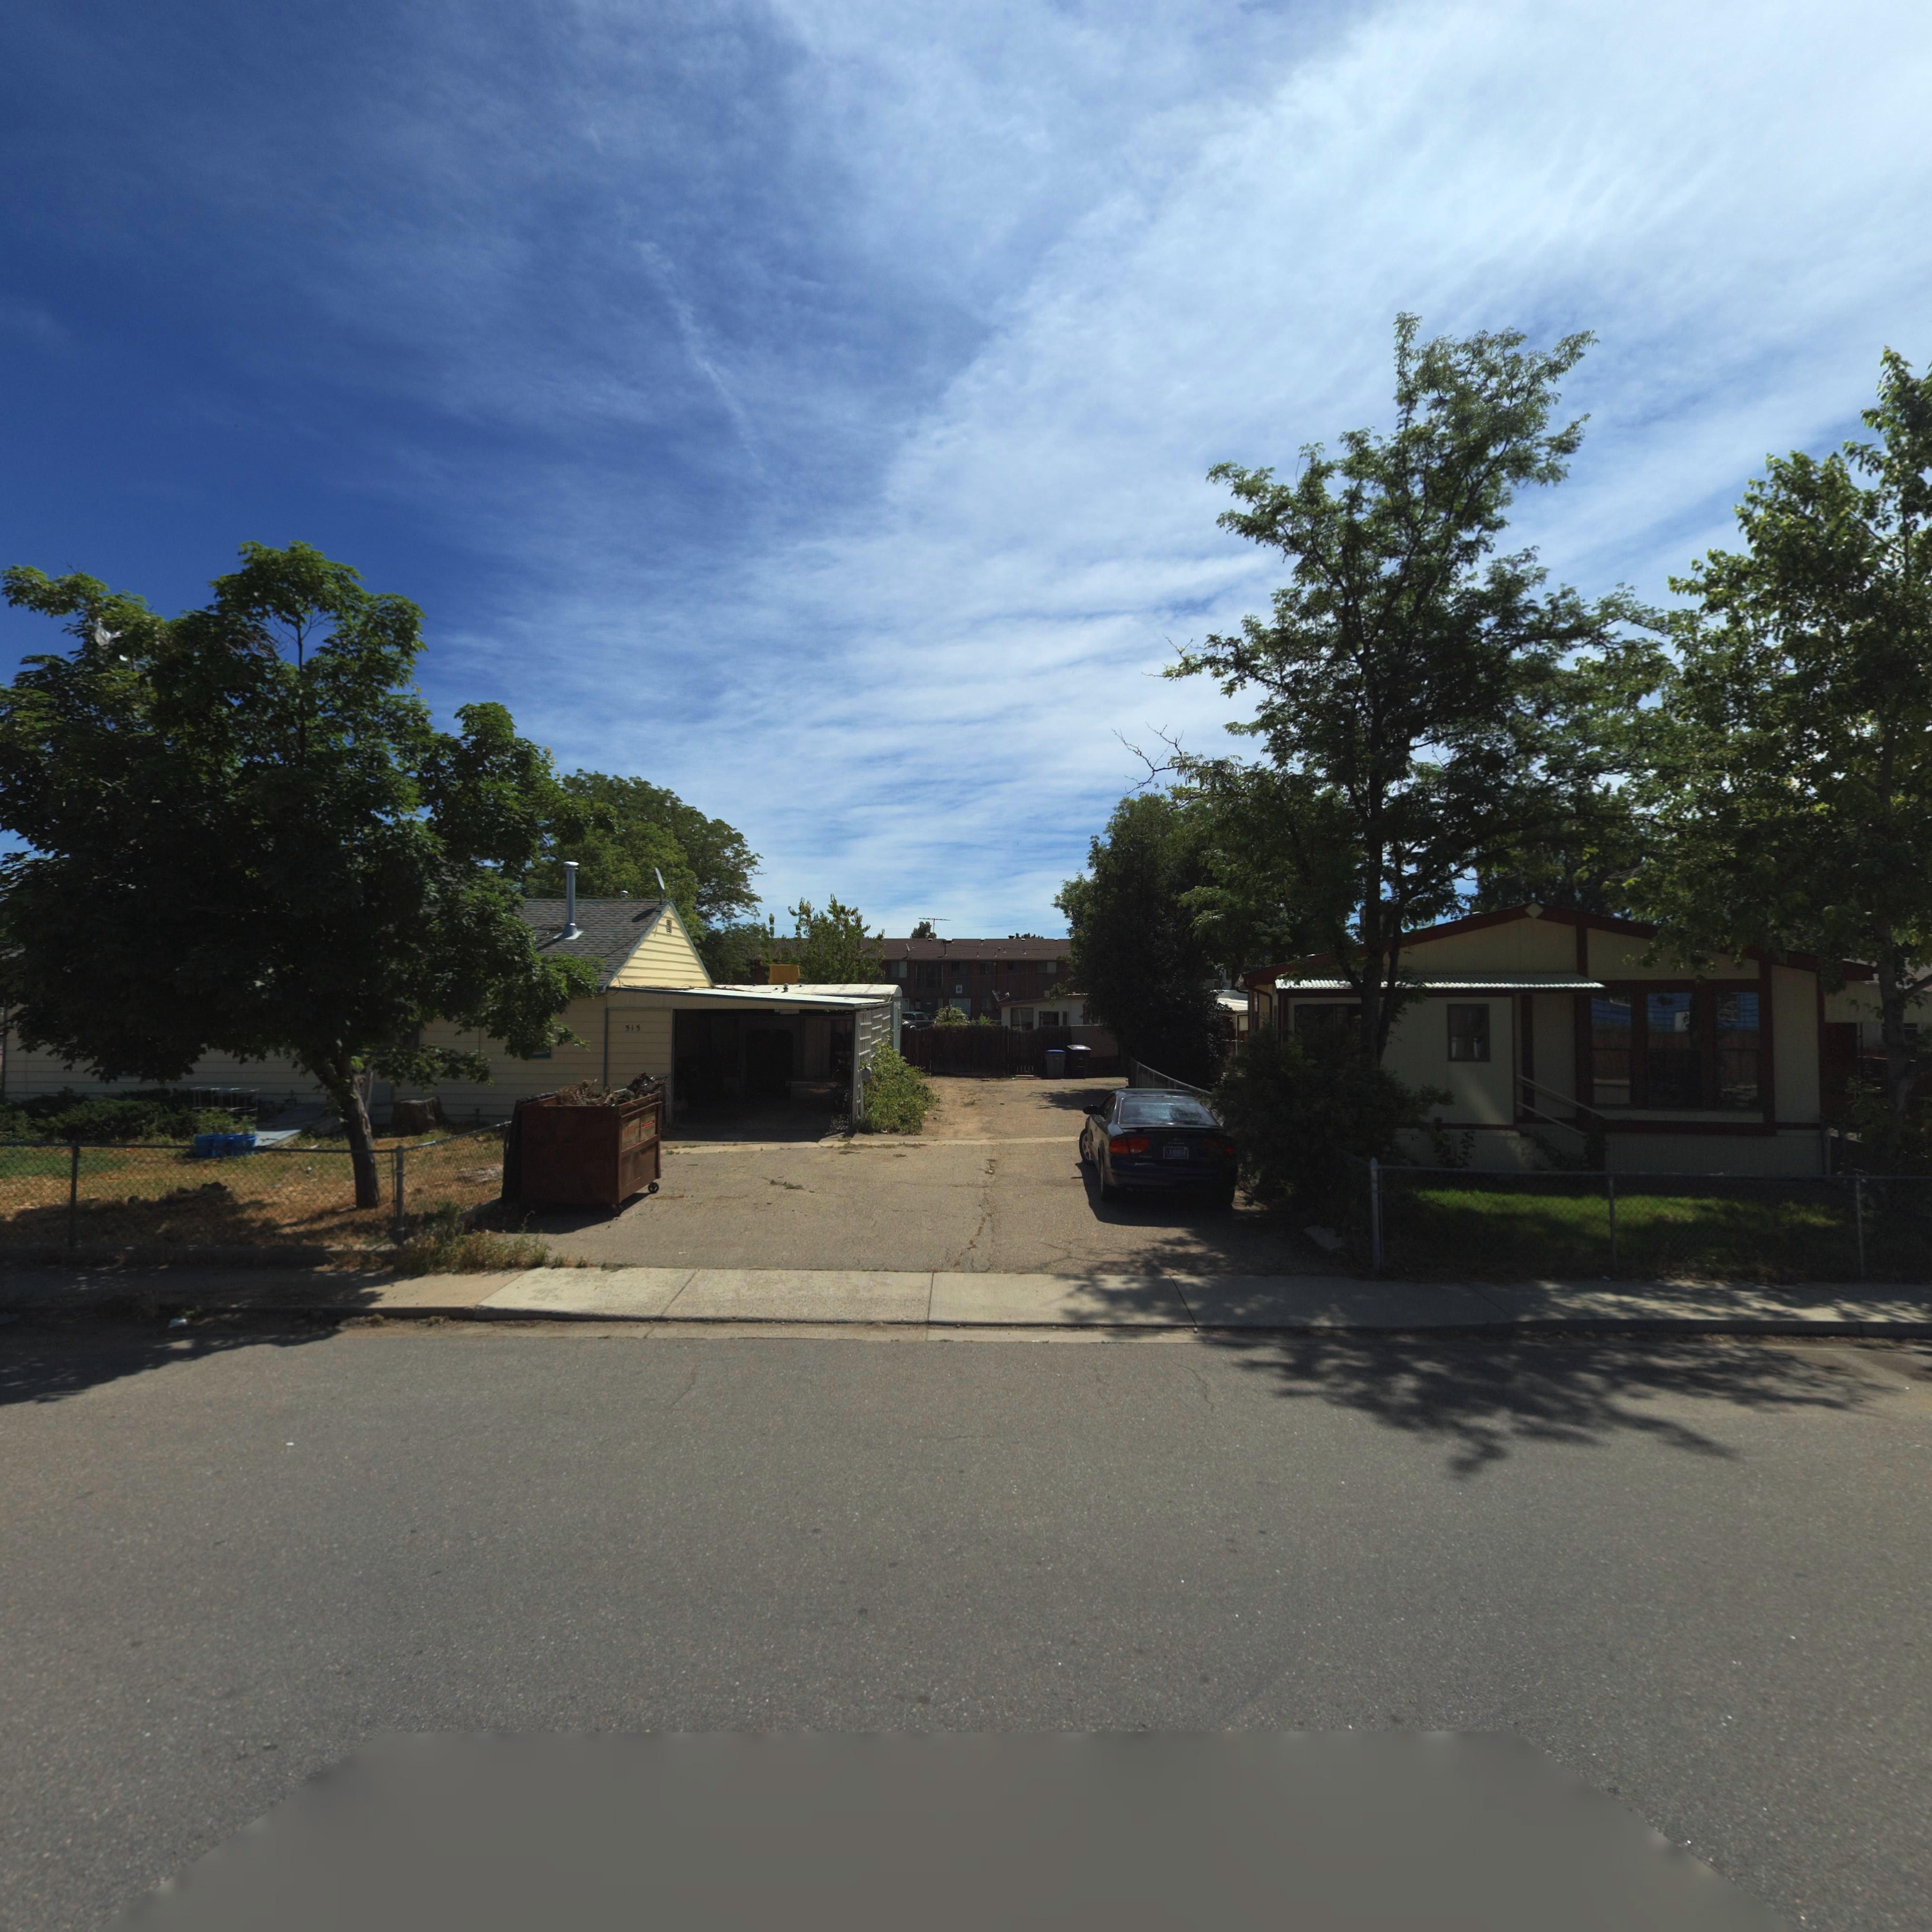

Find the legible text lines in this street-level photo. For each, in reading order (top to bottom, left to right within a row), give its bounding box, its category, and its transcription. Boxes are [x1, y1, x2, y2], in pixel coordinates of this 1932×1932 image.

[624, 1023, 641, 1032] StreetNumber: 515